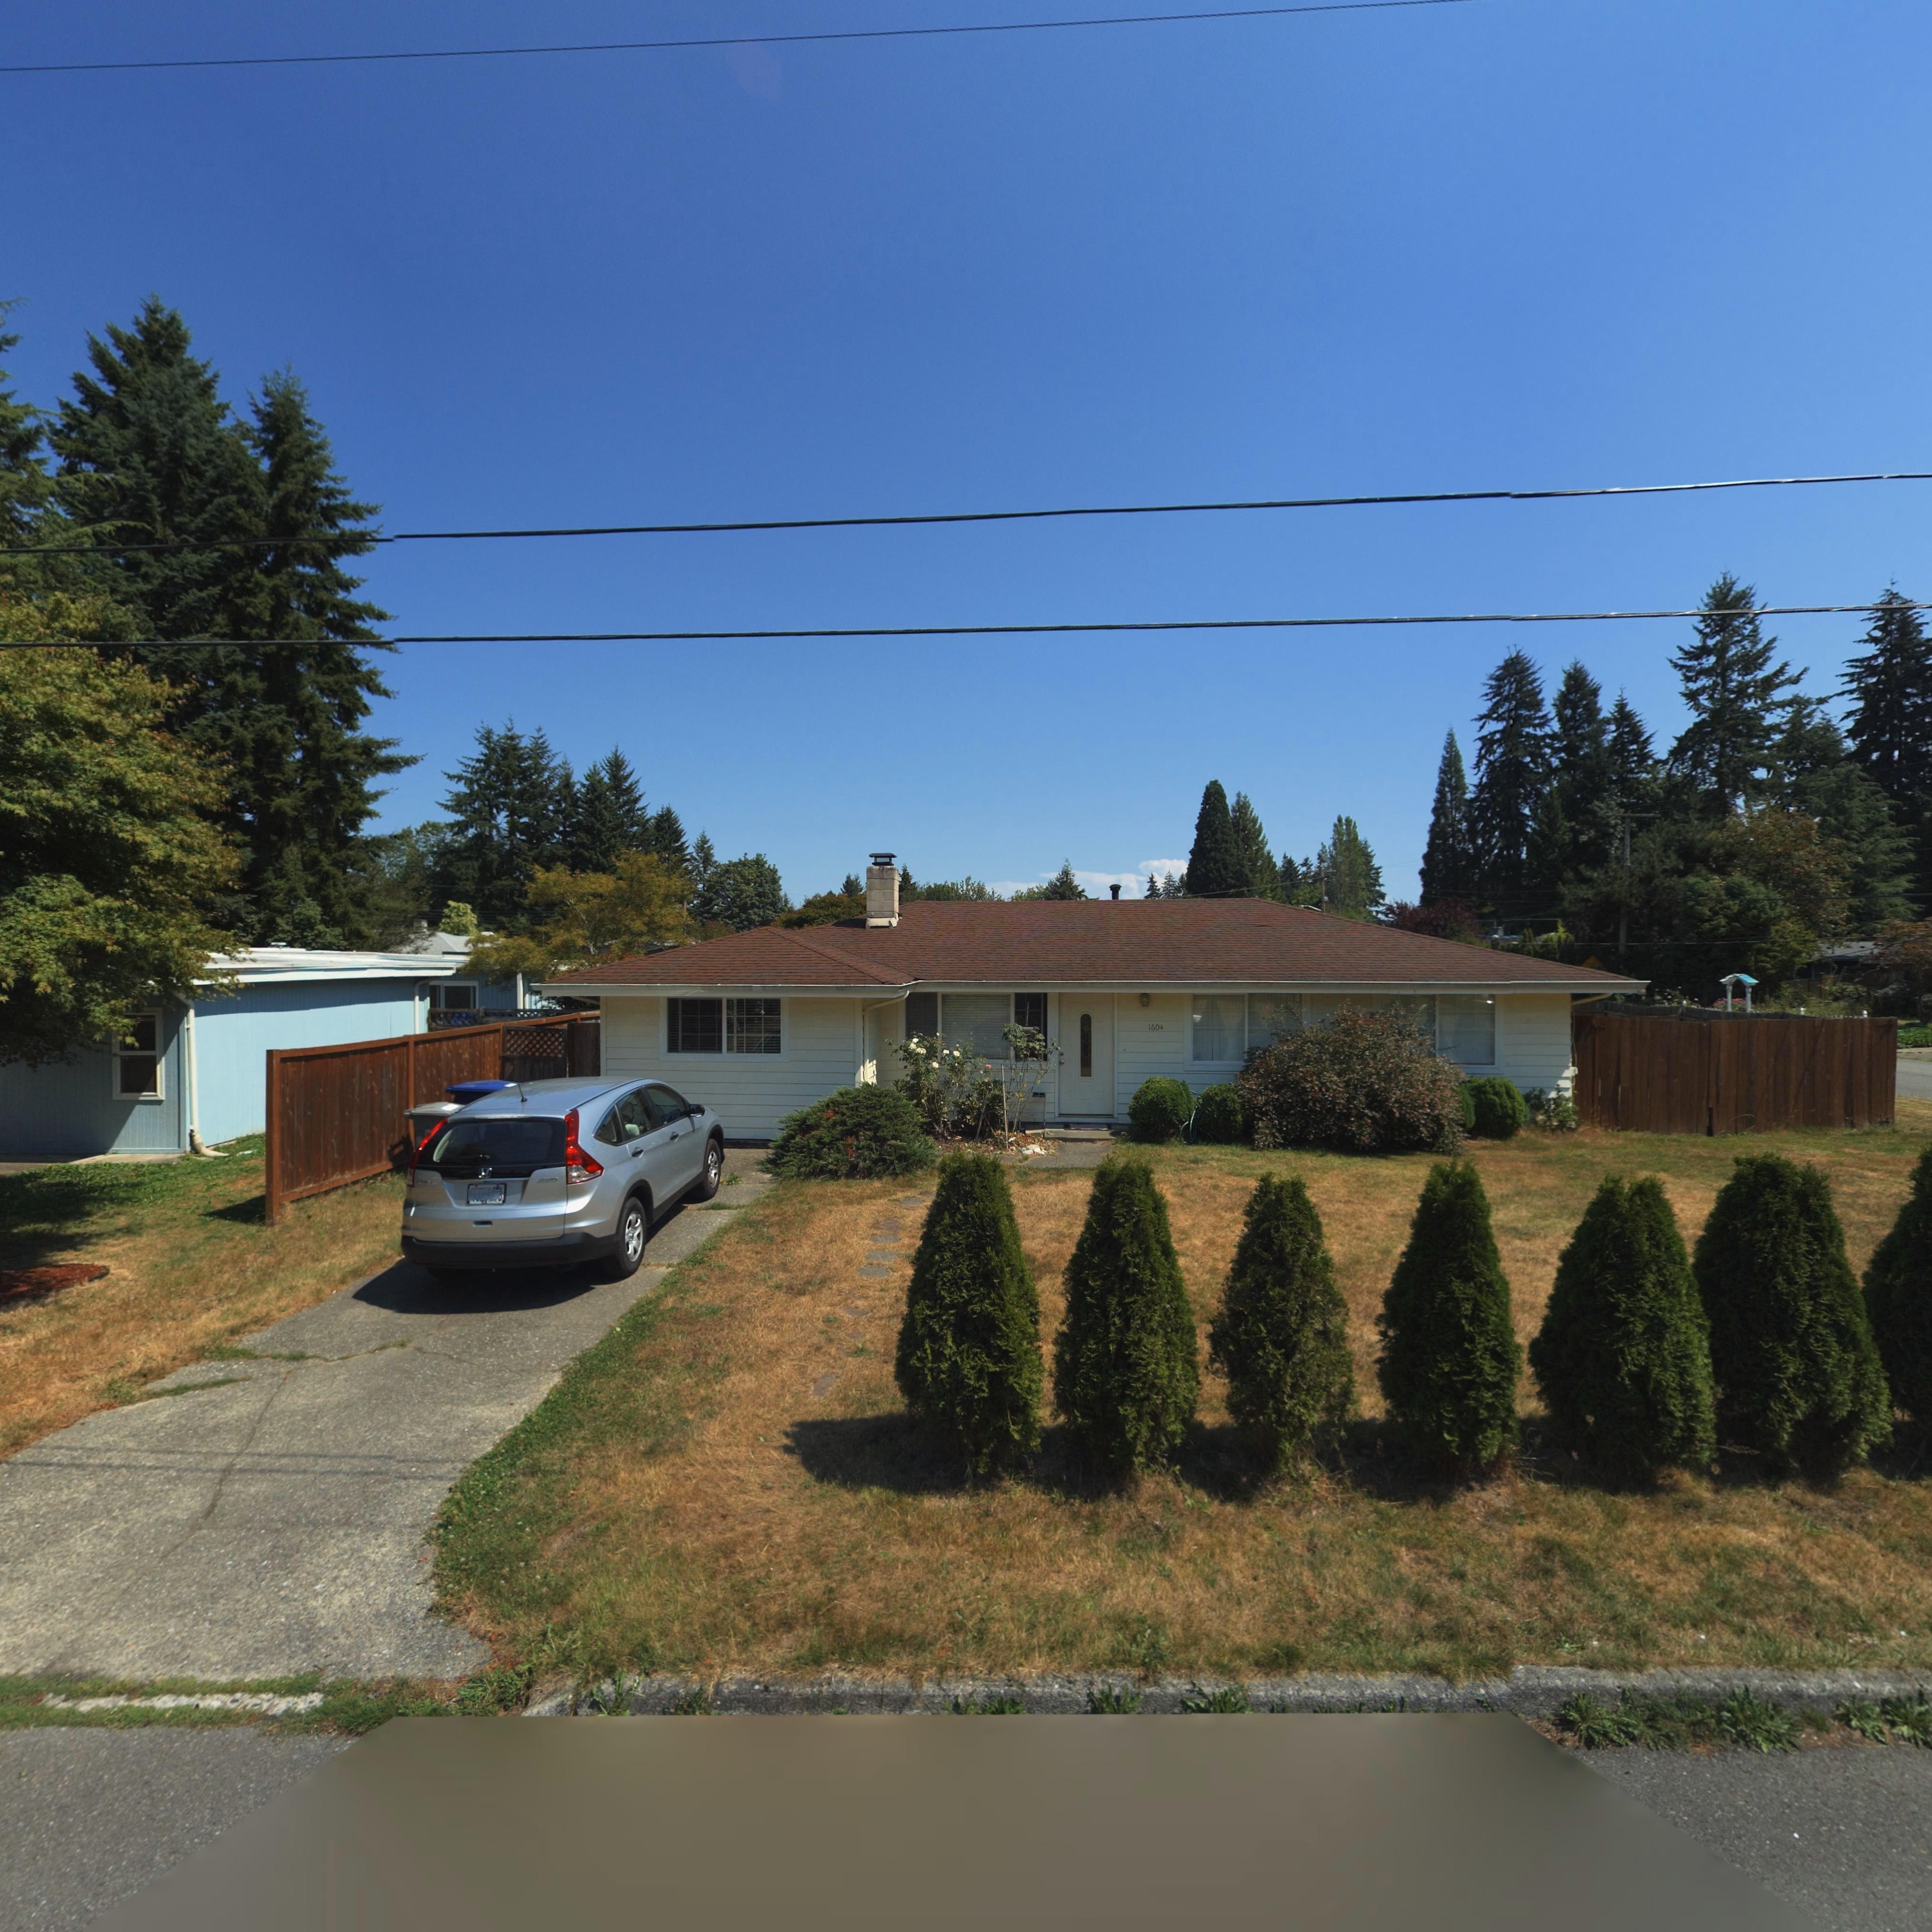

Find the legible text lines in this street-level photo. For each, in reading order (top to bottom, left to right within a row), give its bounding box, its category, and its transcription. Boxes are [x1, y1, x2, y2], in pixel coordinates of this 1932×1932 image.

[1148, 1024, 1163, 1031] StreetNumber: 1604